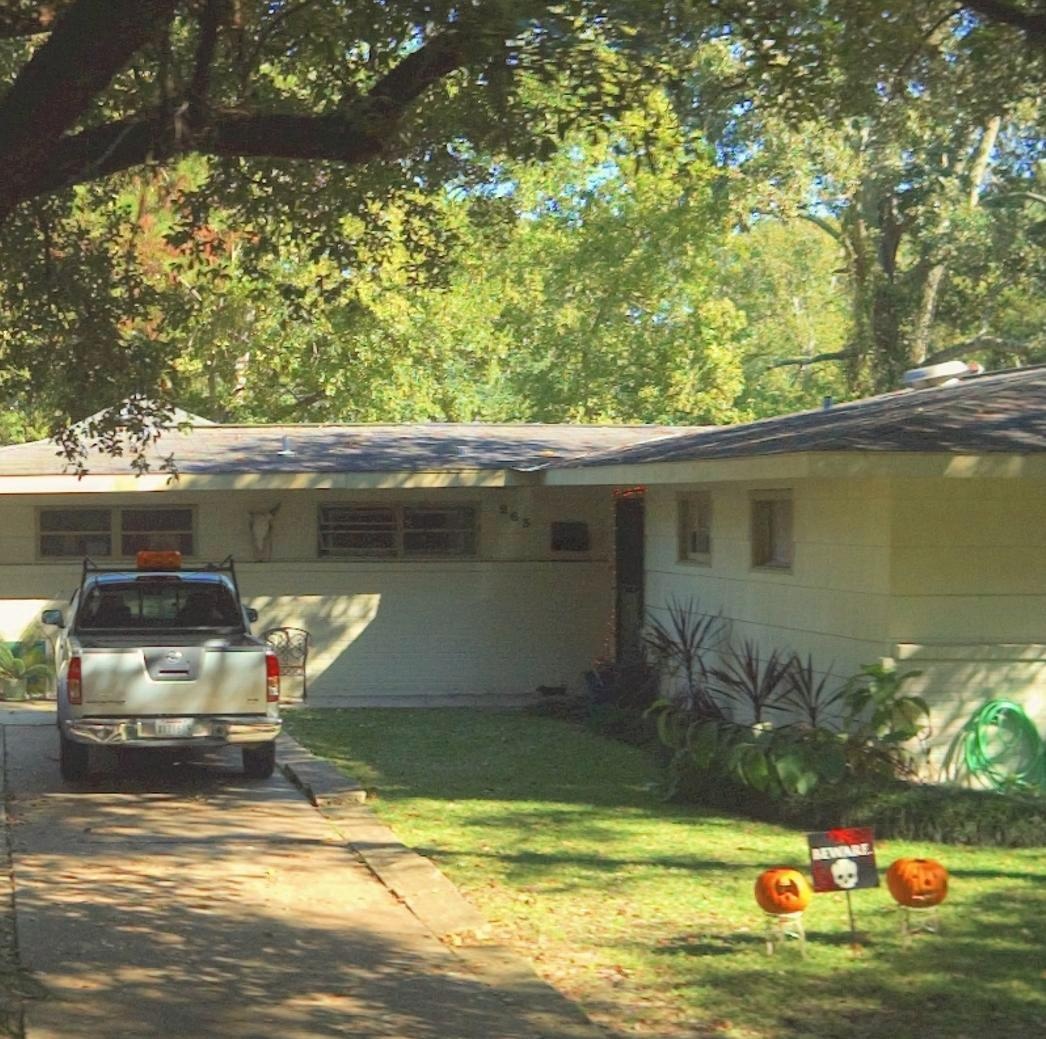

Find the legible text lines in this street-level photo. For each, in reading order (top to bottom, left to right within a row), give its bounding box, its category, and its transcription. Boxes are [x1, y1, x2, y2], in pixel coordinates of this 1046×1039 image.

[498, 503, 531, 529] StreetNumber: 263
[165, 723, 184, 735] None: 315
[810, 842, 871, 861] None: BEWARE